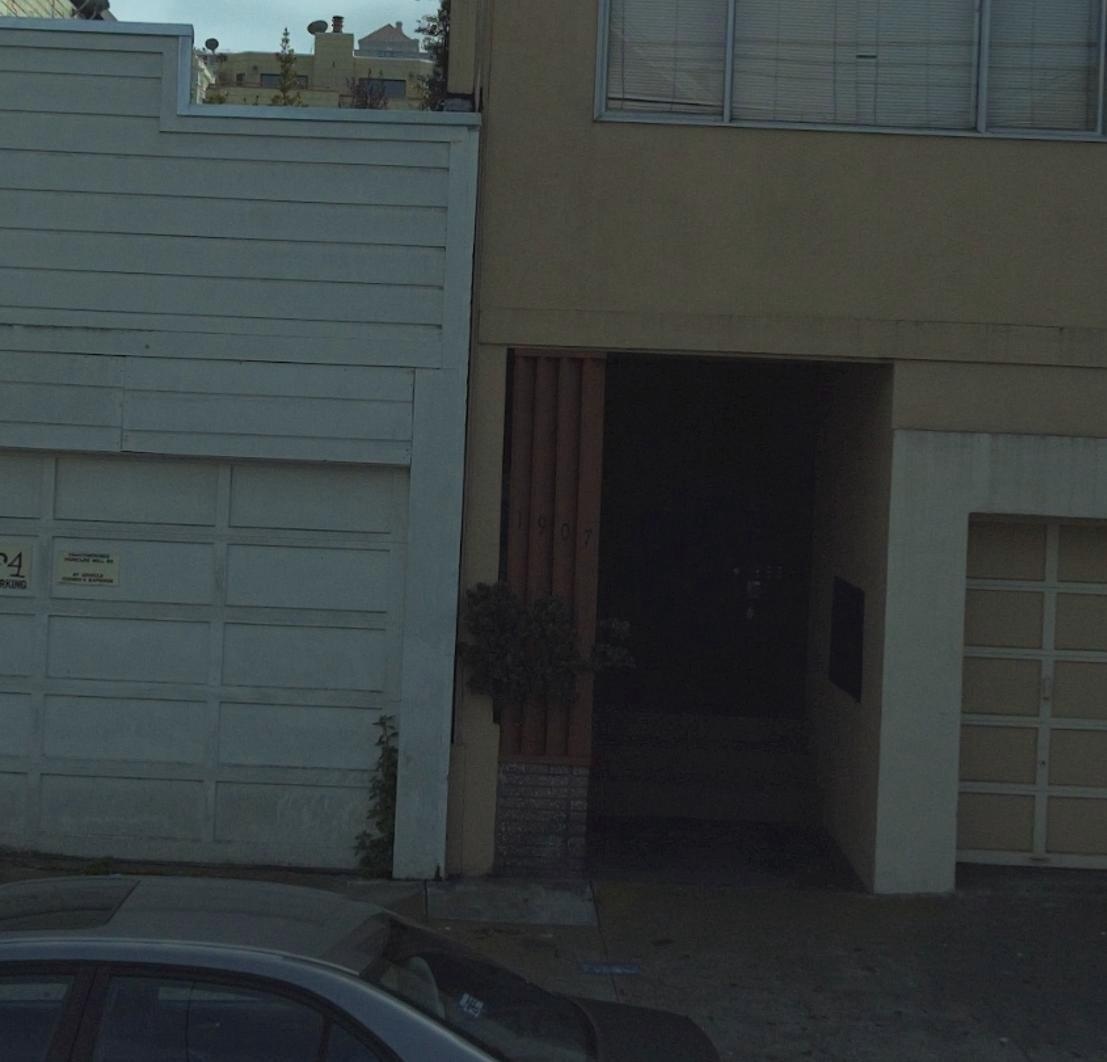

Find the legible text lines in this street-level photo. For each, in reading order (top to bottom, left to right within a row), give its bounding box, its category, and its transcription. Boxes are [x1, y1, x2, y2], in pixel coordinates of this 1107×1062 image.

[515, 509, 597, 551] StreetNumber: 1907